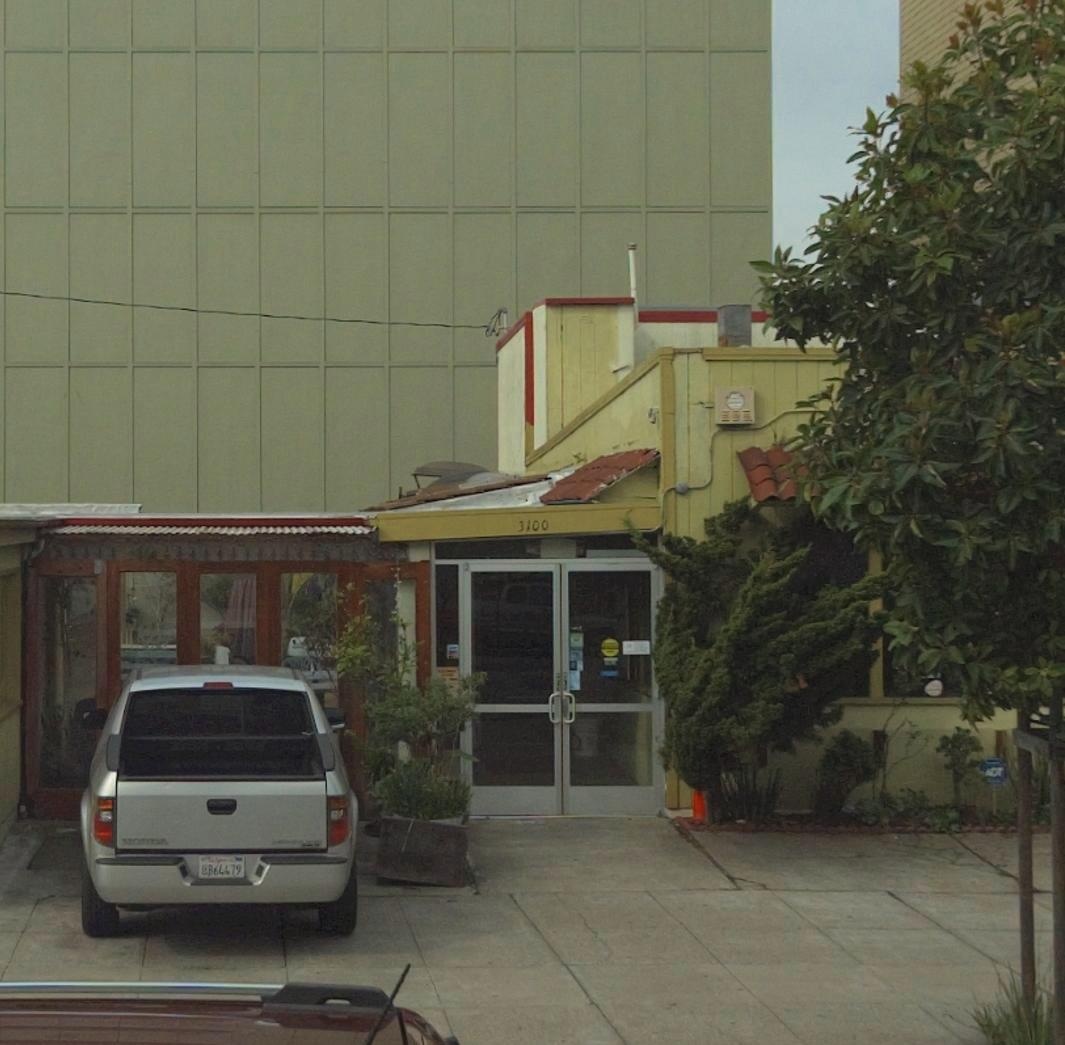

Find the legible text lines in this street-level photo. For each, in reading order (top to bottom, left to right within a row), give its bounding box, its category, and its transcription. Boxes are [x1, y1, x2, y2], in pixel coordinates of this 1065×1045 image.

[517, 518, 550, 534] StreetNumber: 3100
[984, 766, 1005, 777] None: ADT
[201, 862, 244, 876] None: 8B64479